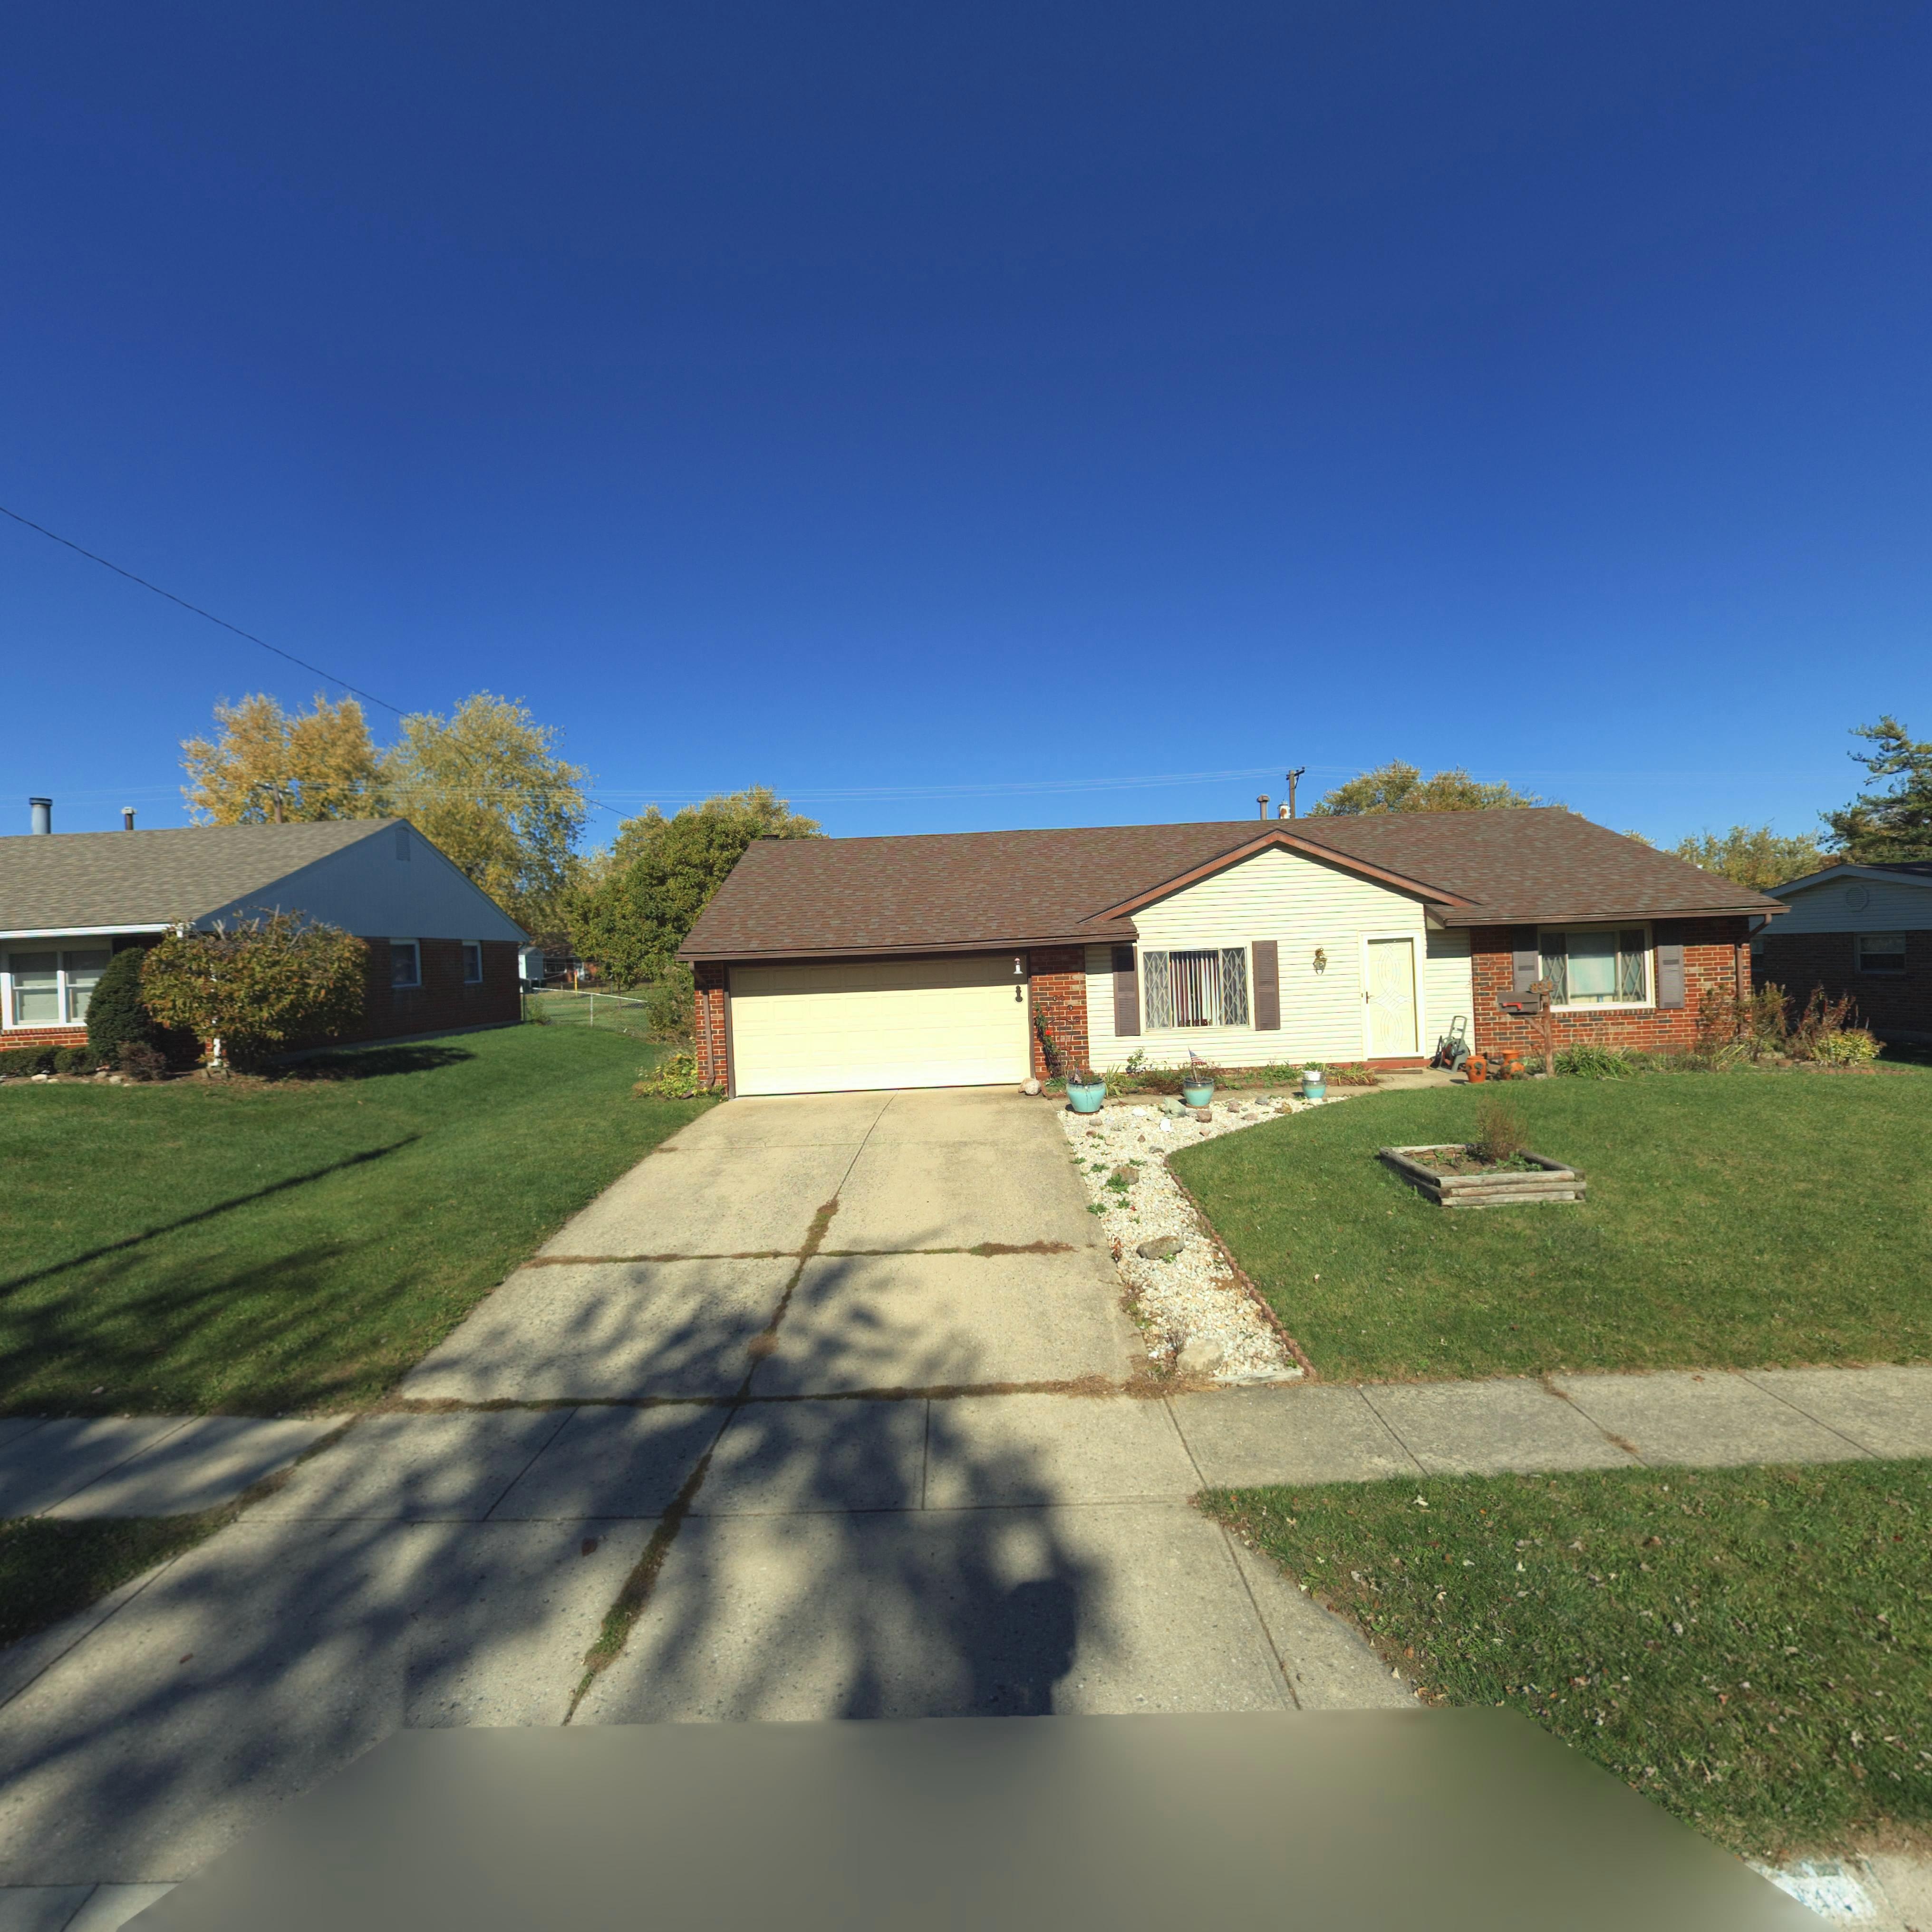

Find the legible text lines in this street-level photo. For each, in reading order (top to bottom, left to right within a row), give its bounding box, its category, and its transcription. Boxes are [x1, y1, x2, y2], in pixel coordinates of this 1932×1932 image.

[1530, 980, 1554, 993] StreetNumber: 814